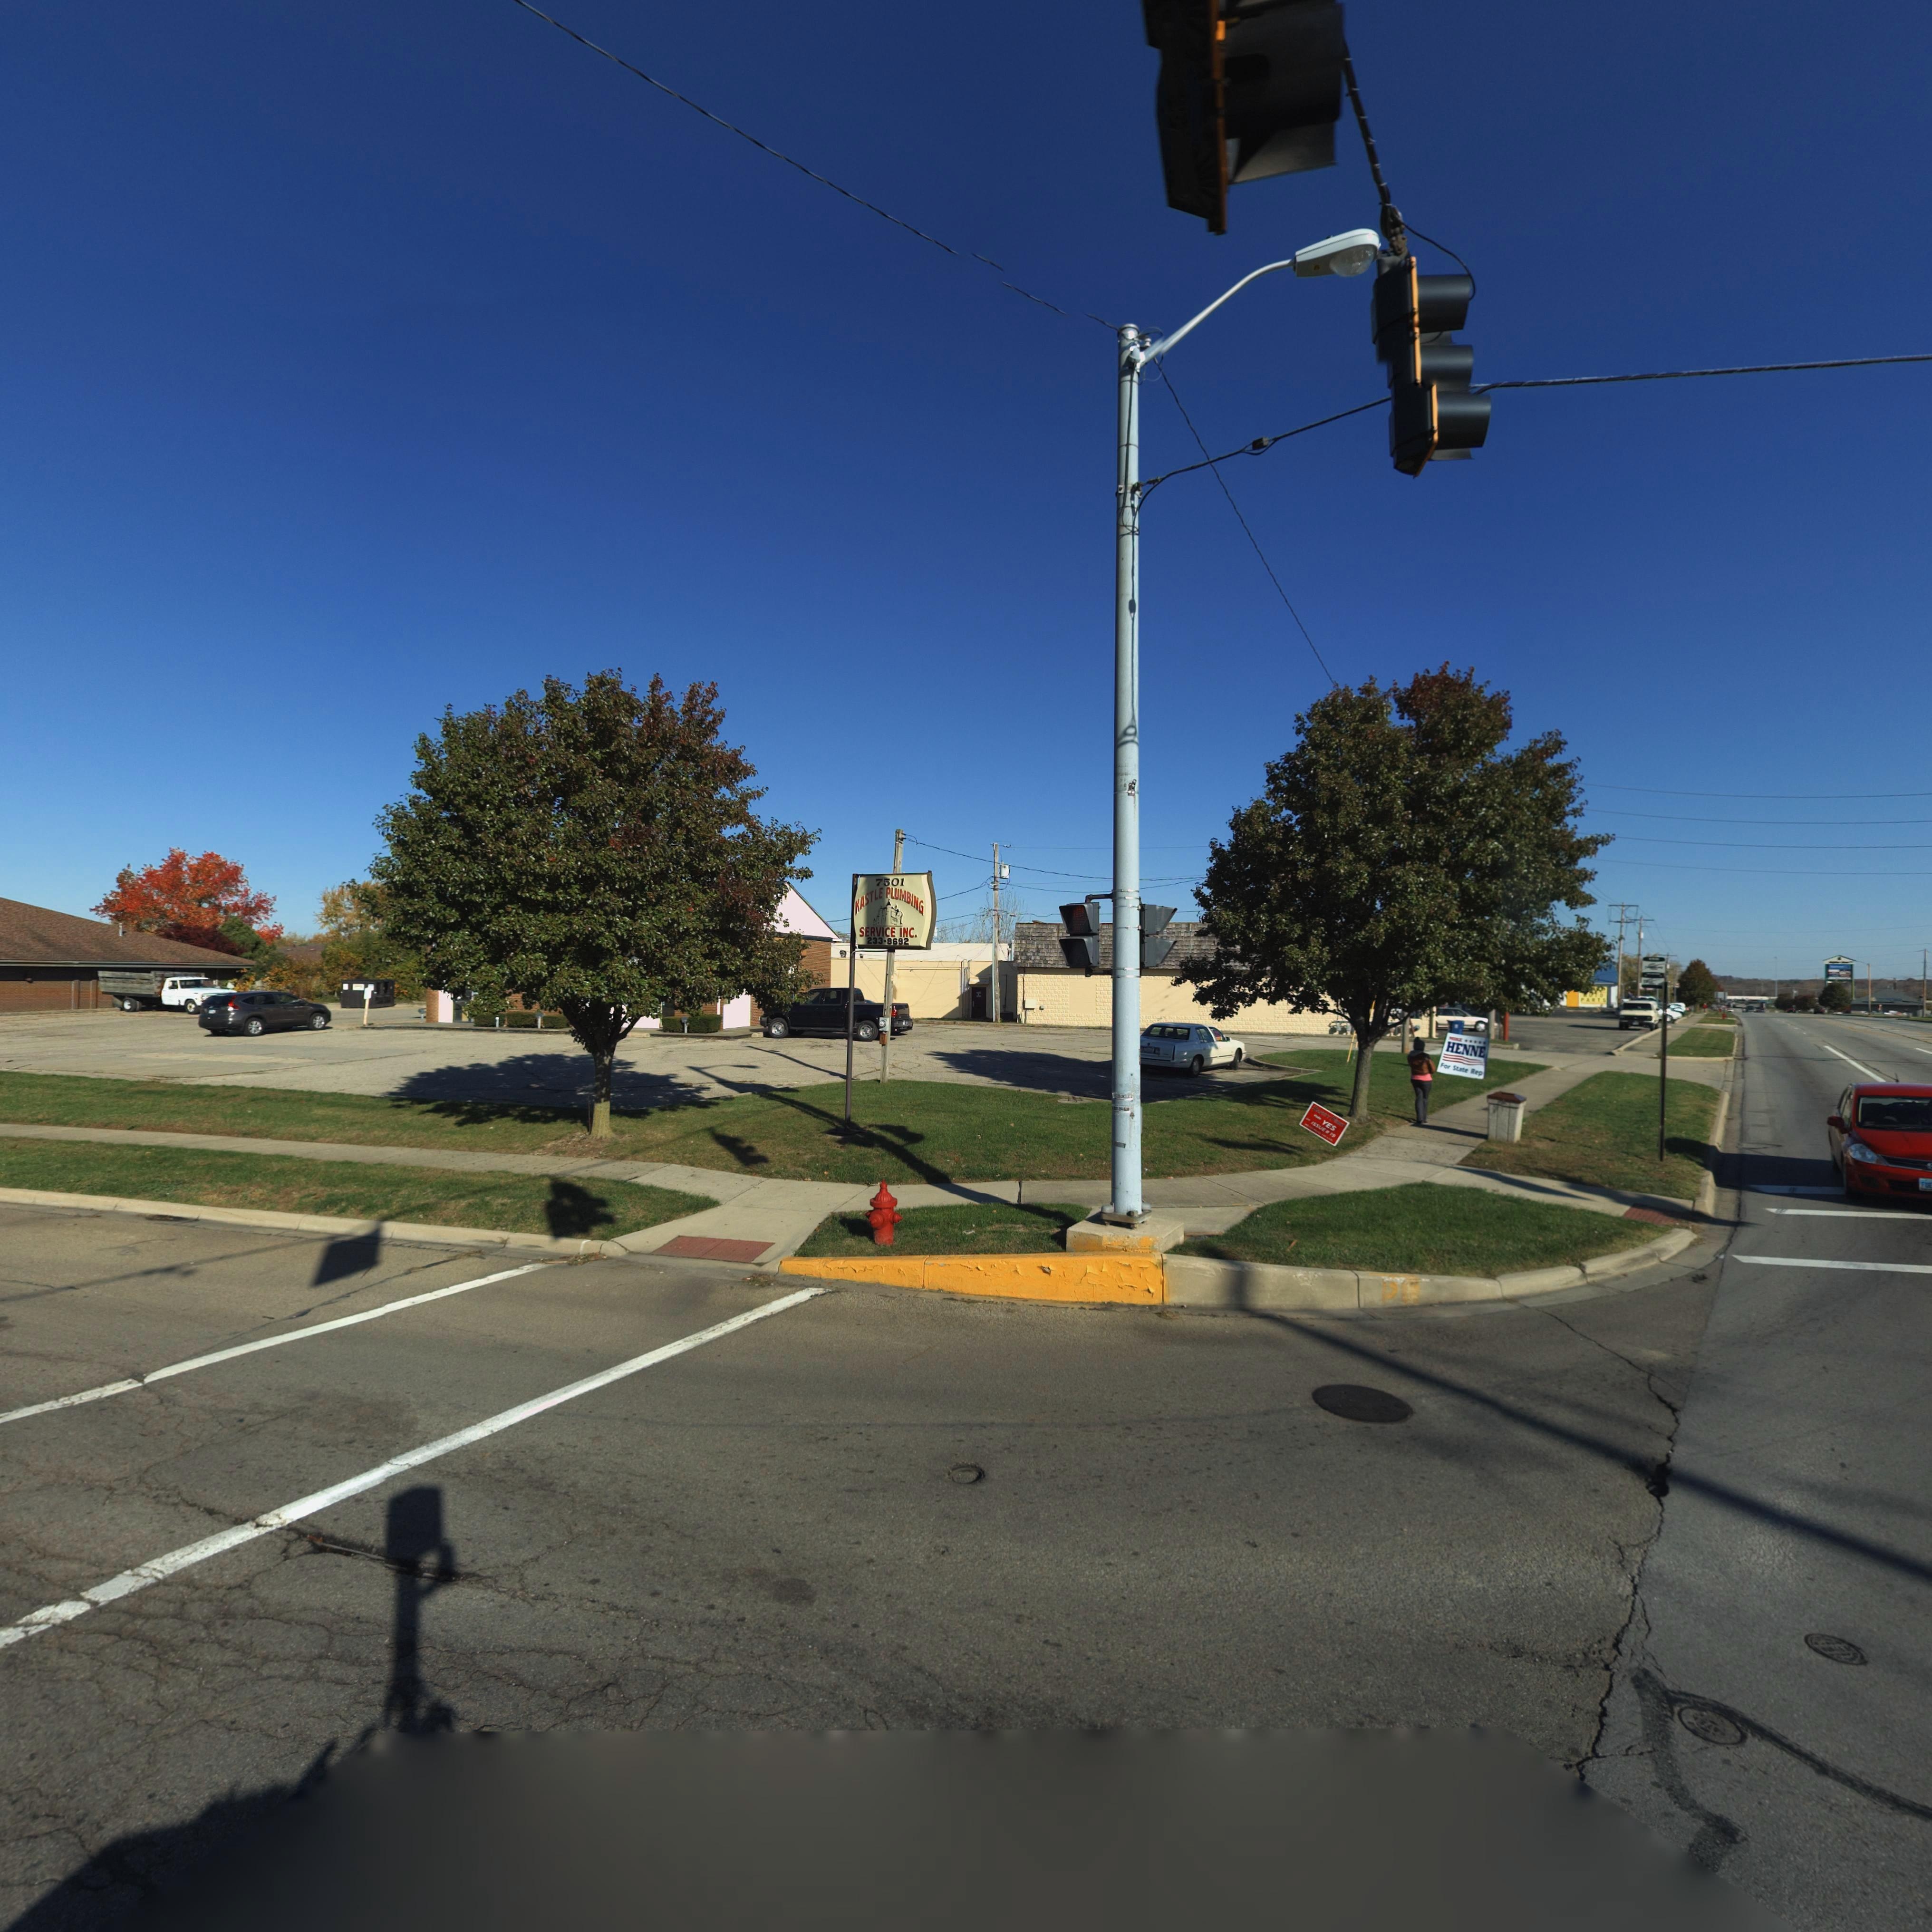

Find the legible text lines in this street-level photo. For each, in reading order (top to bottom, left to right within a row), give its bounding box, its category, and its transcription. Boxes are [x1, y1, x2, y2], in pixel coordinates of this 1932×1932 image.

[875, 877, 905, 888] StreetNumber: 7501
[854, 886, 925, 918] BusinessName: KASTLE PLUMBING
[859, 927, 918, 938] BusinessName: SERVICE INC.